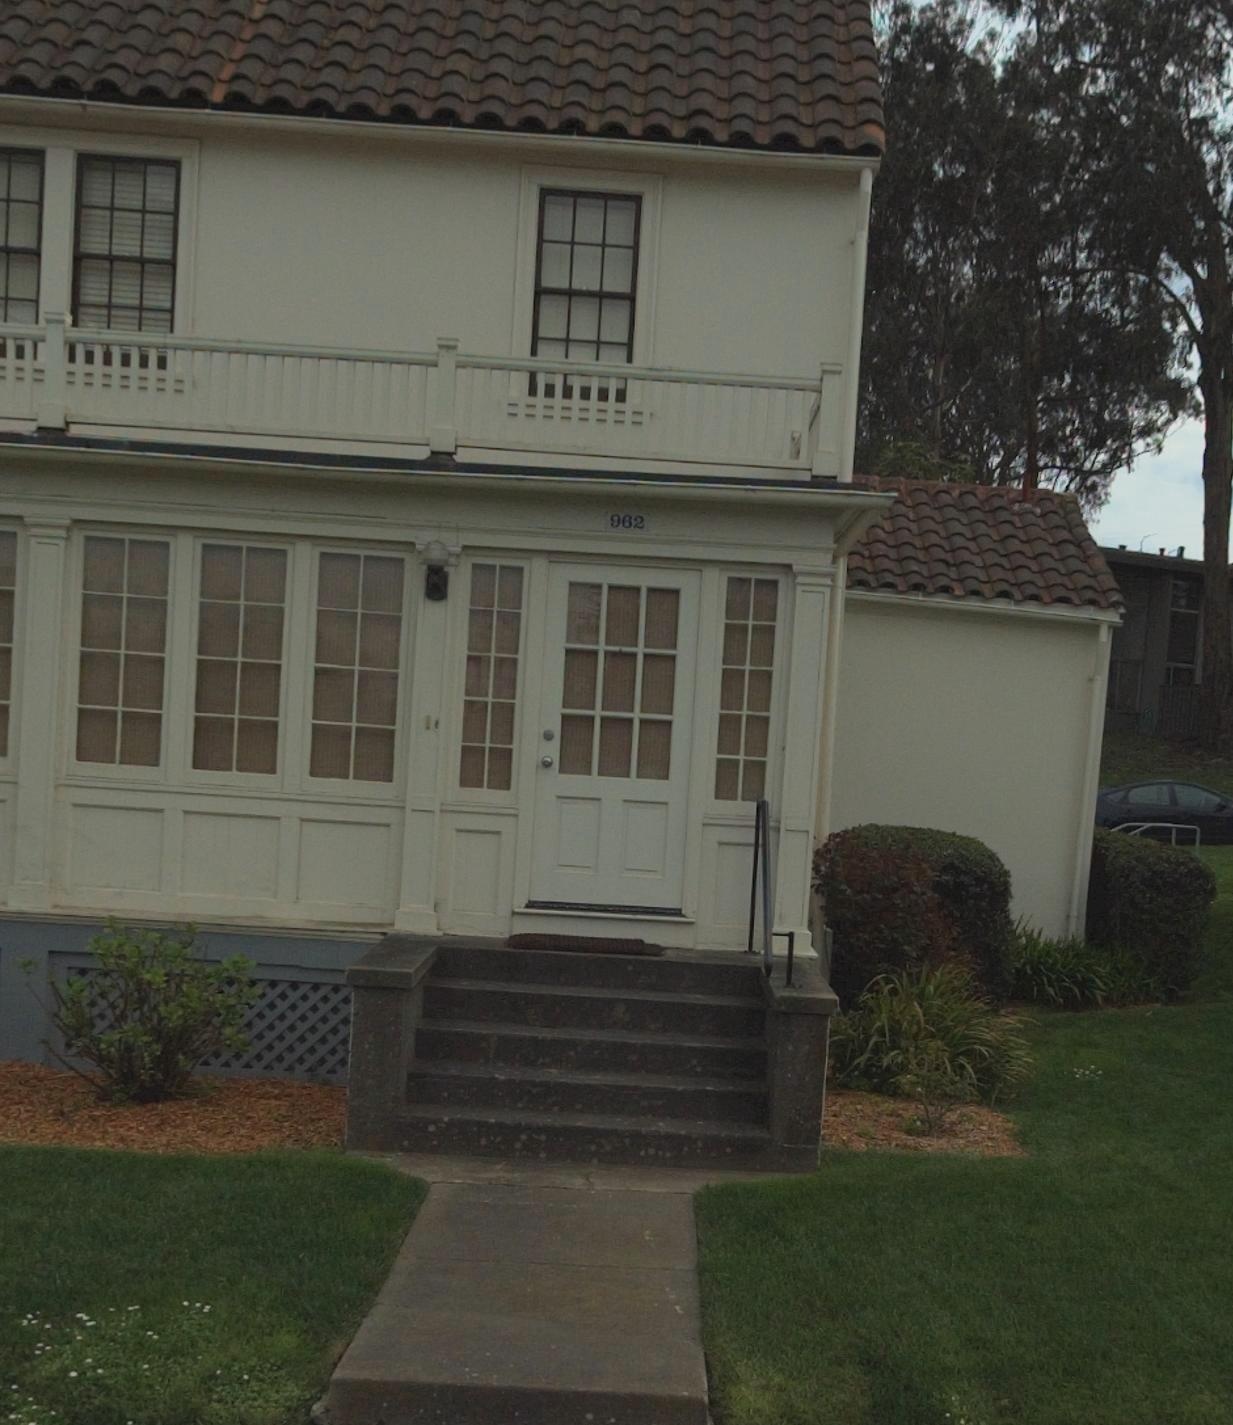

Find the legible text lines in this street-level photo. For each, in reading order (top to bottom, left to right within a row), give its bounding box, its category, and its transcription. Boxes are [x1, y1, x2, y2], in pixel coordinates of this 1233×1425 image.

[609, 512, 646, 531] StreetNumber: 962